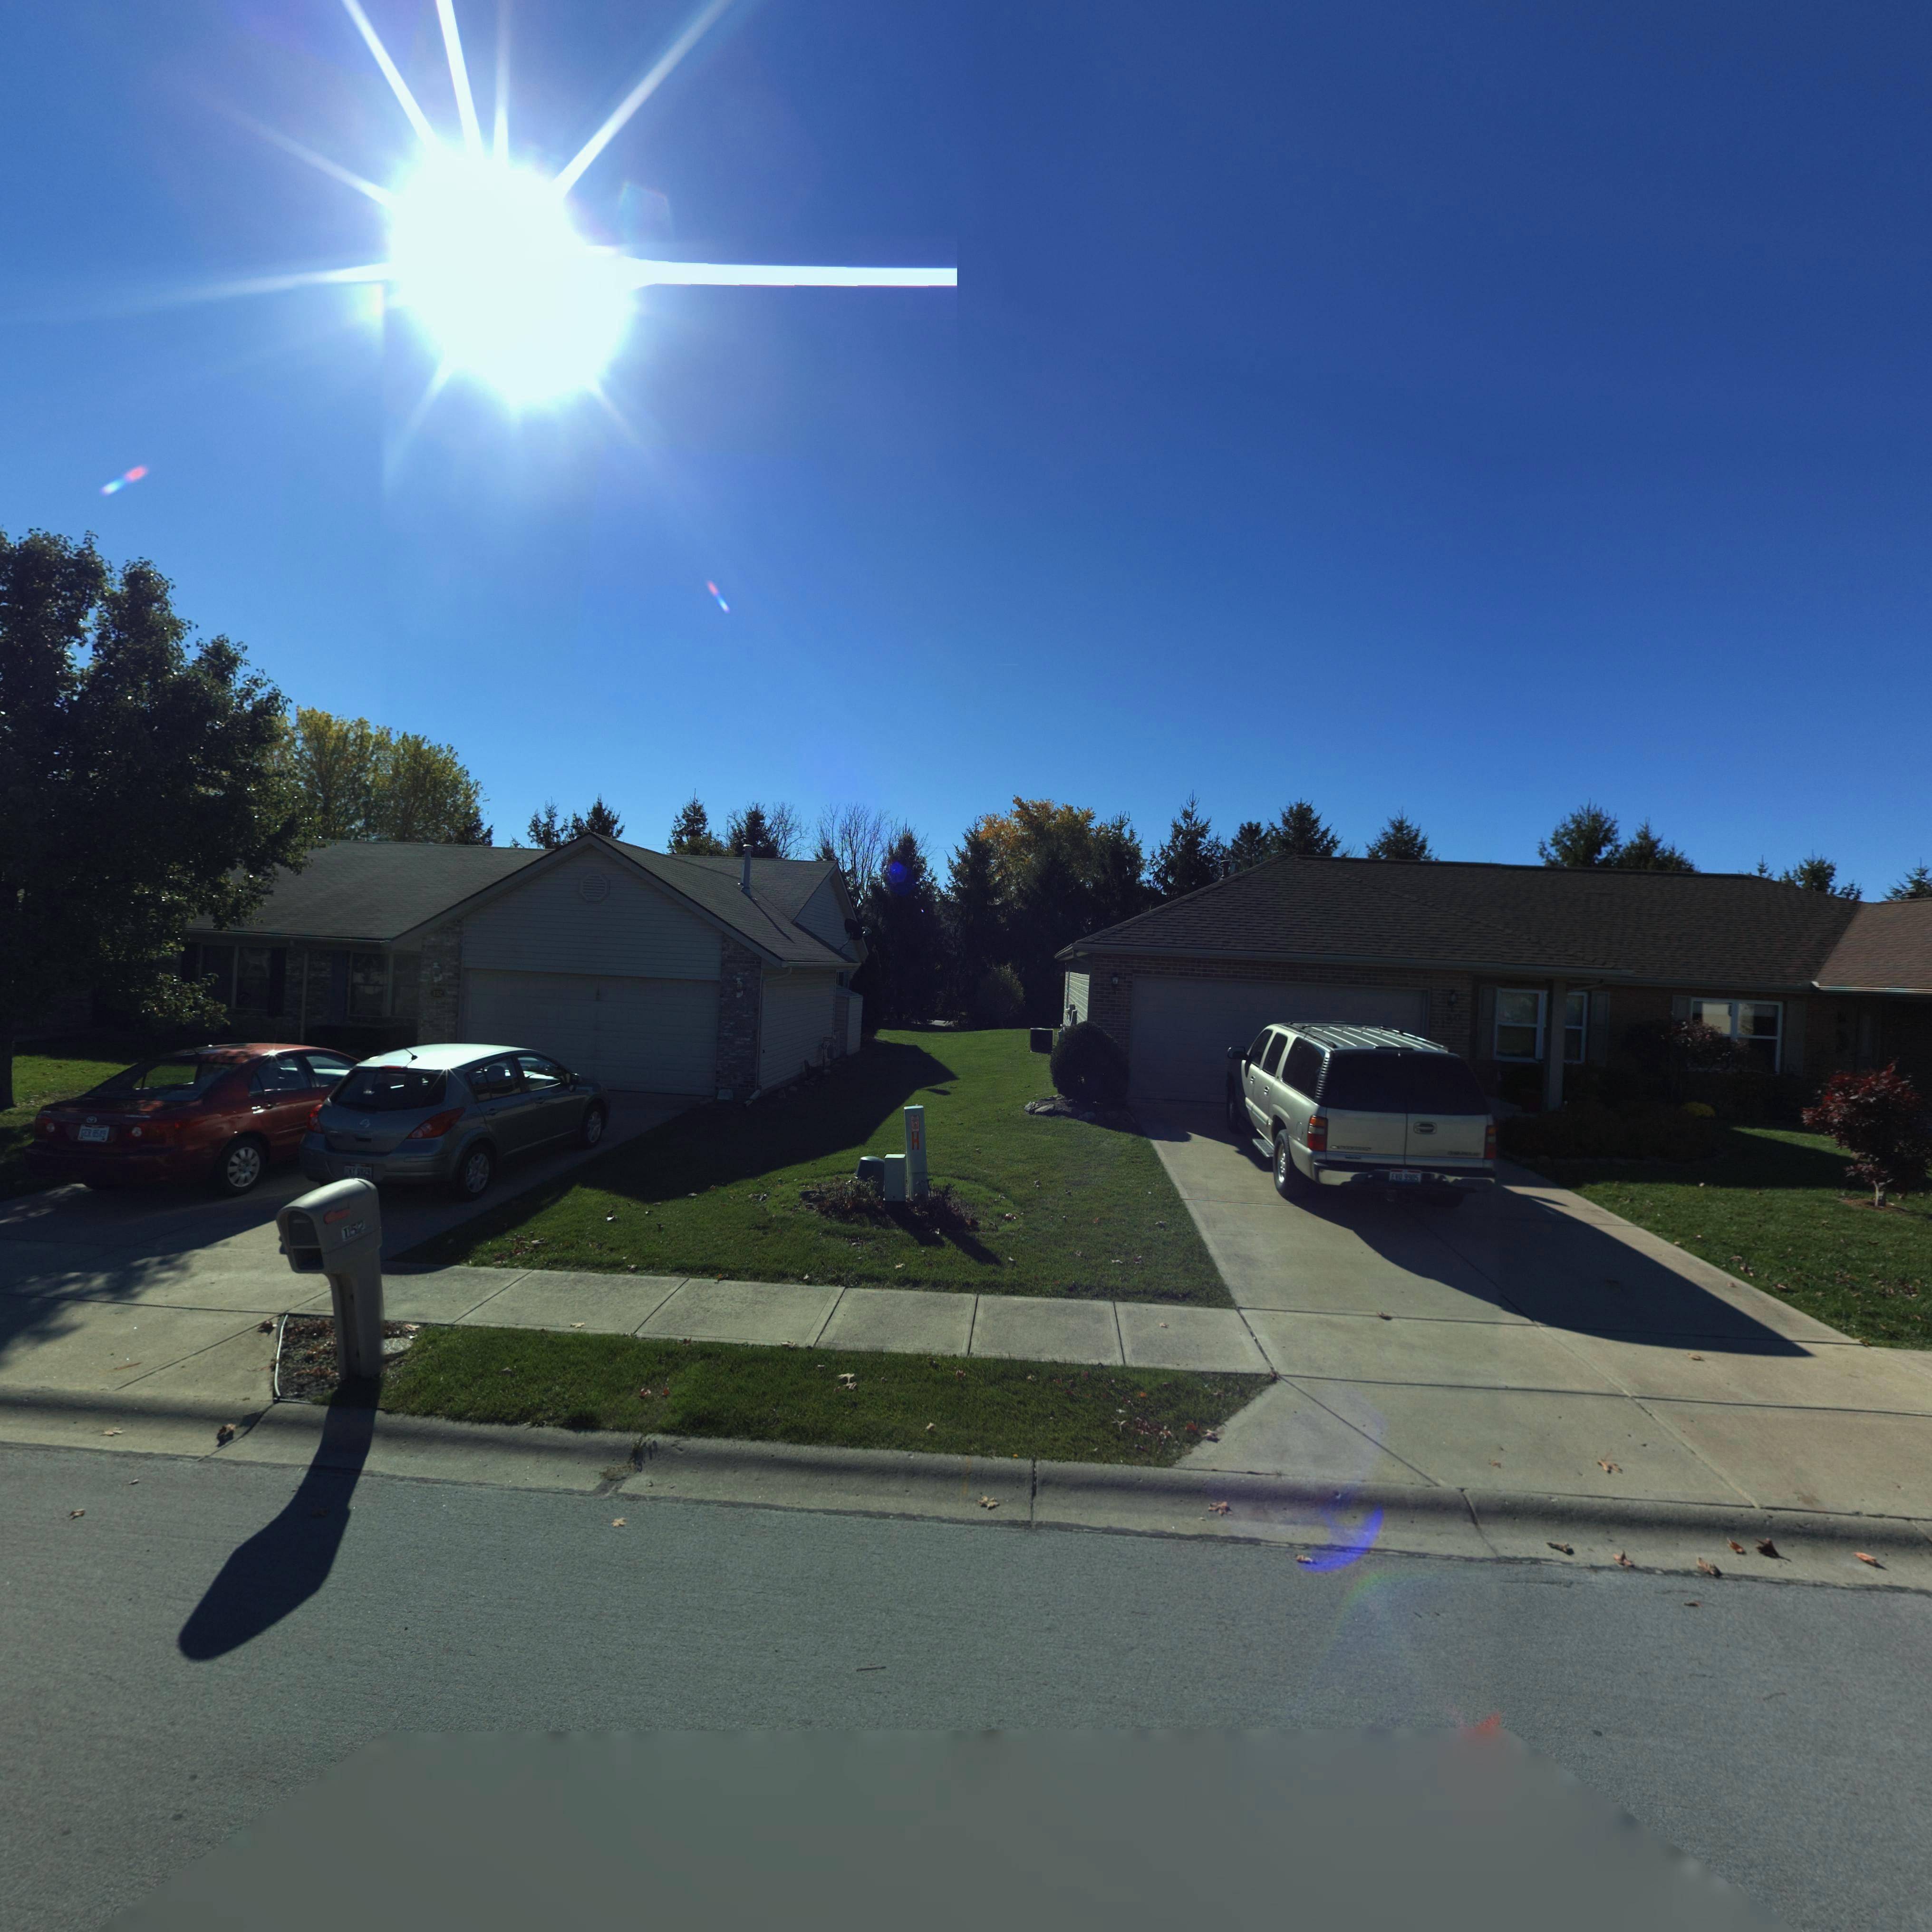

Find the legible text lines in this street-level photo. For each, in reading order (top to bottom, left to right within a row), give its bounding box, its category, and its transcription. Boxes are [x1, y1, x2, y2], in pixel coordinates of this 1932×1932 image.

[433, 990, 443, 997] StreetNumber: 152
[1440, 1013, 1462, 1030] StreetNumber: 150
[80, 1127, 108, 1140] None: GER ****
[1390, 1173, 1420, 1183] None: EVO 9905
[342, 1219, 365, 1240] StreetNumber: 152